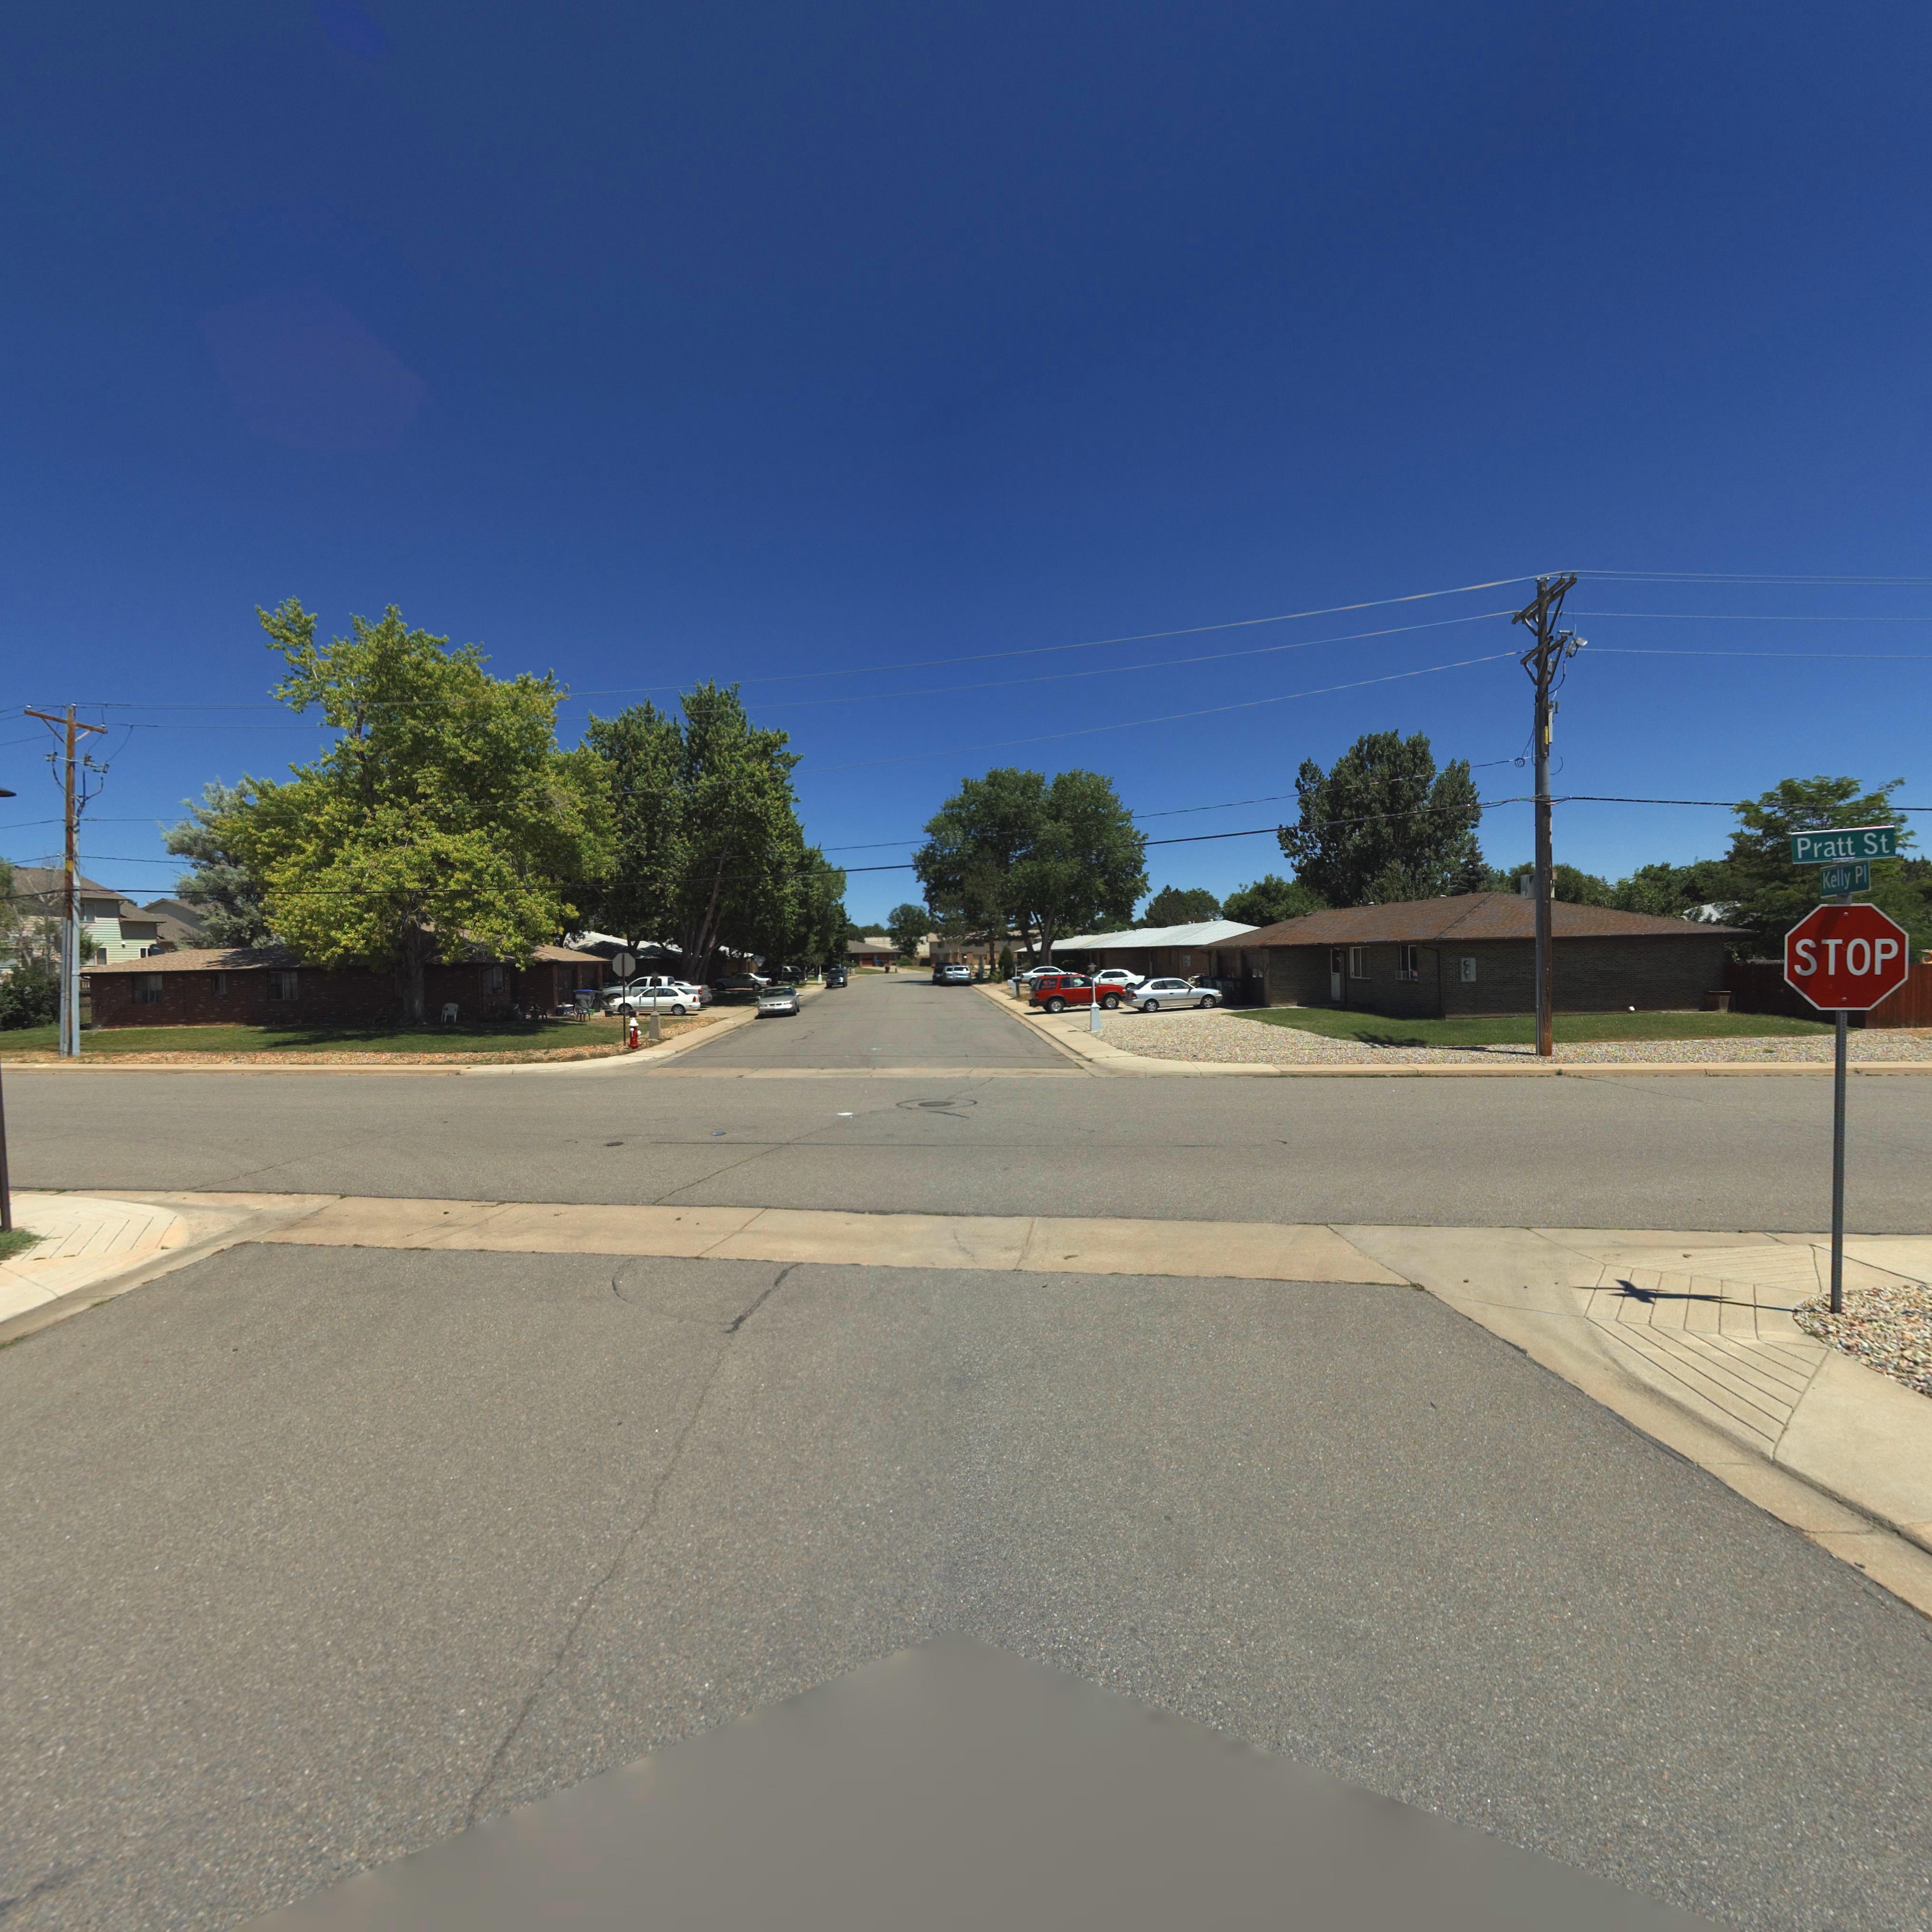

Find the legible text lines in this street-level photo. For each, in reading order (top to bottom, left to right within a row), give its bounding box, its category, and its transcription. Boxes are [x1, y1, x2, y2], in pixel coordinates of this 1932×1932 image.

[1795, 831, 1893, 860] StreetName: Pratt St
[1820, 862, 1868, 891] StreetName: Kelly Pl